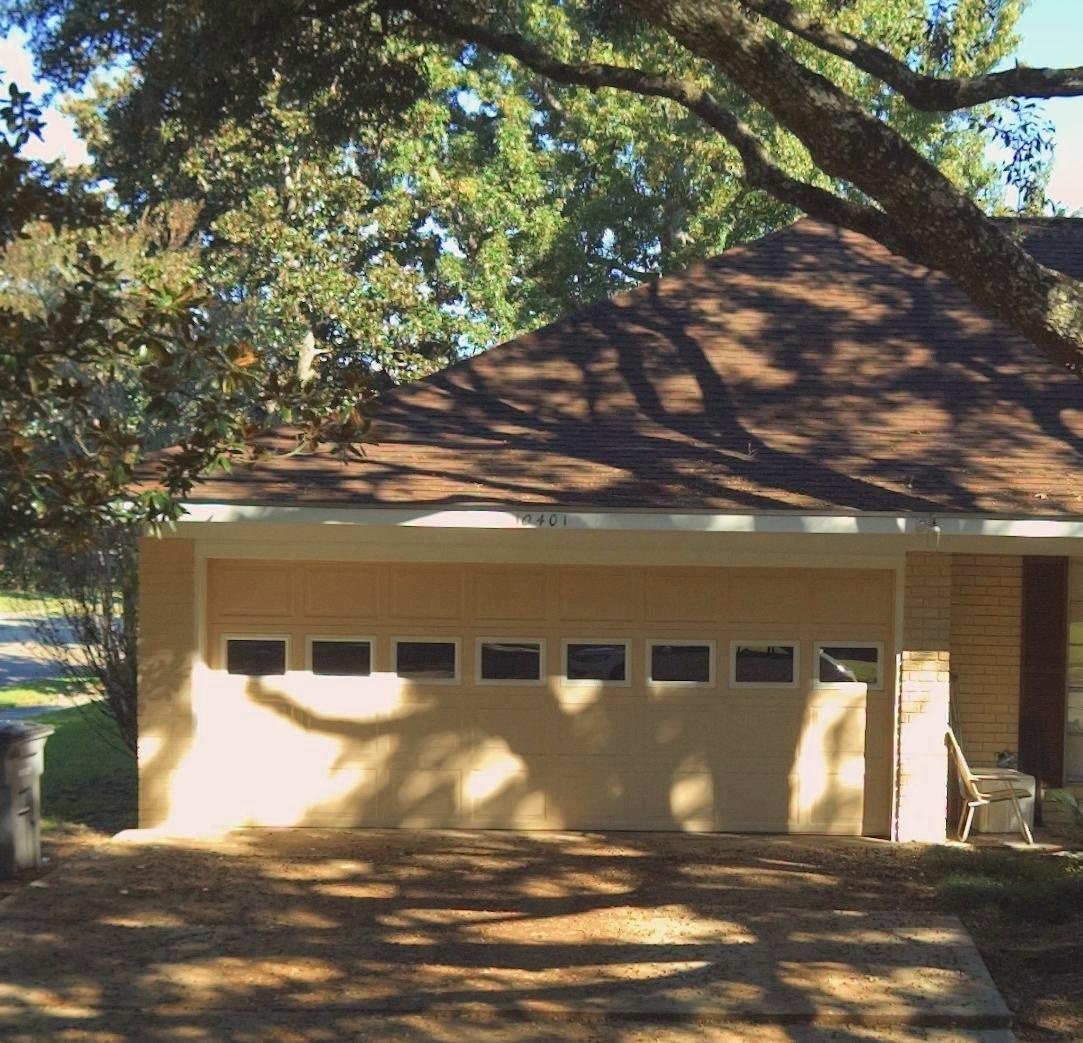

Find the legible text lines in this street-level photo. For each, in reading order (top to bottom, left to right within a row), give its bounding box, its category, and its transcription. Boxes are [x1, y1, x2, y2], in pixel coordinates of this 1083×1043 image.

[513, 511, 569, 529] StreetNumber: 10401